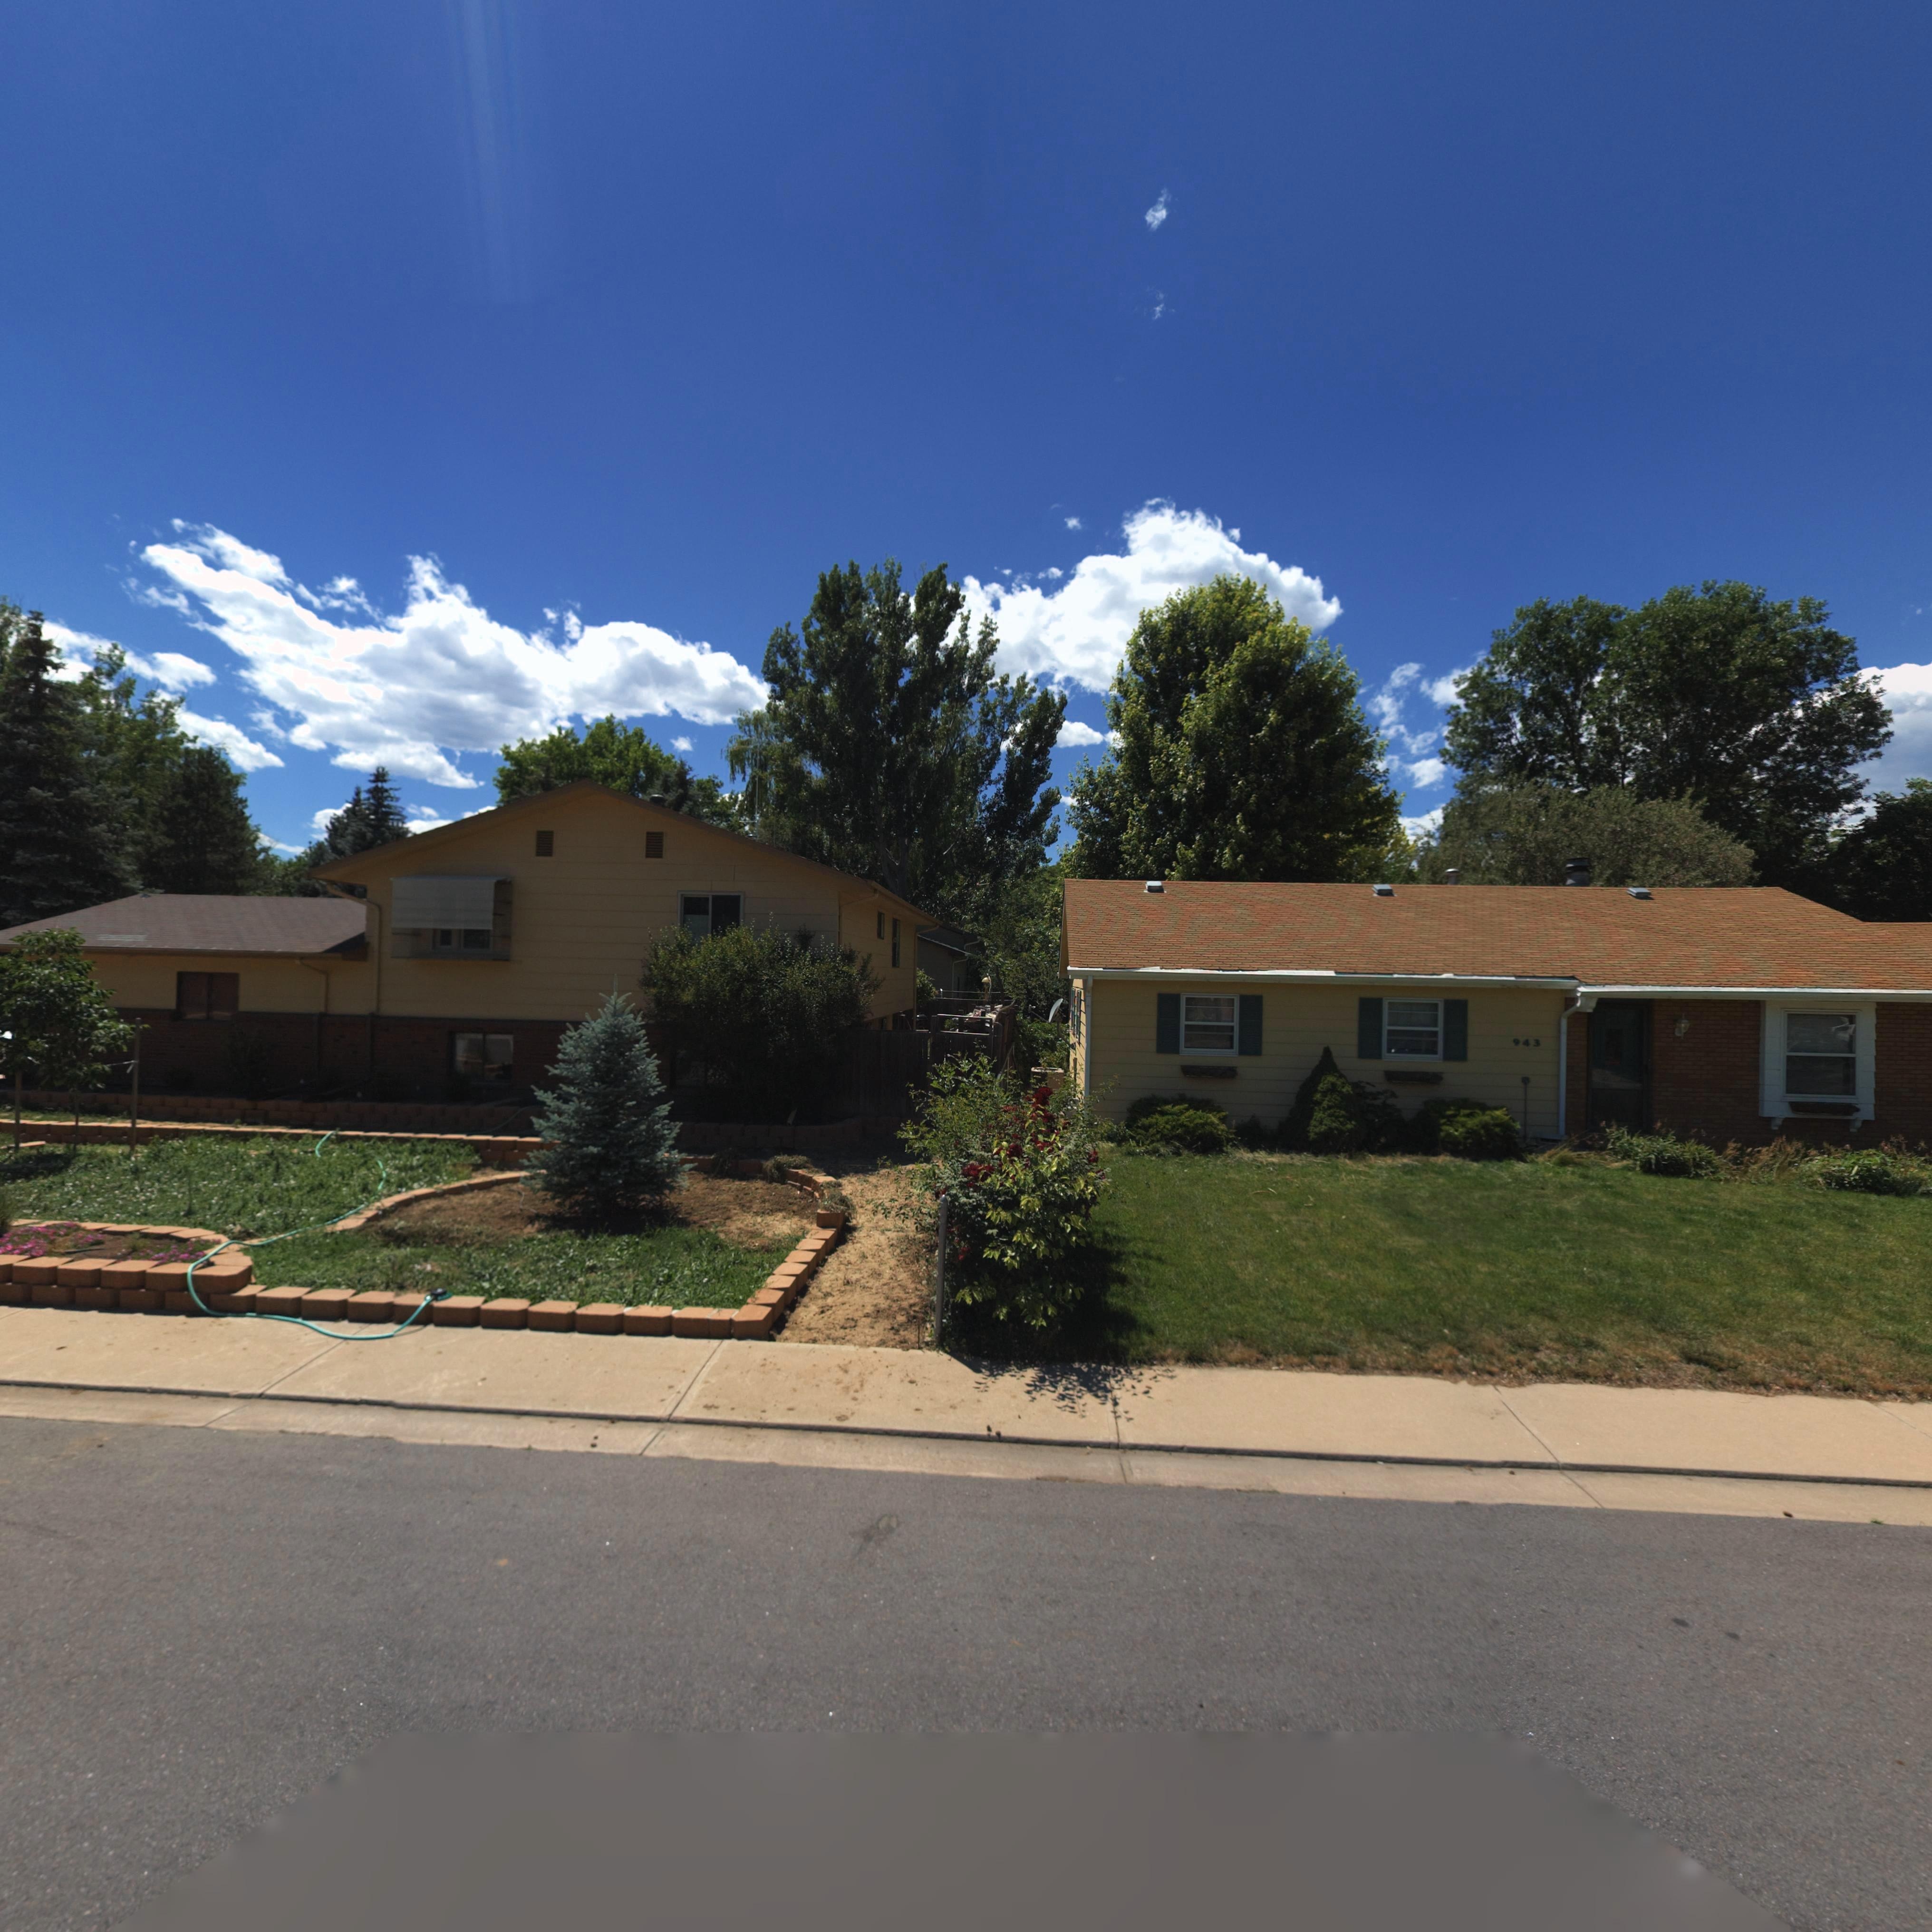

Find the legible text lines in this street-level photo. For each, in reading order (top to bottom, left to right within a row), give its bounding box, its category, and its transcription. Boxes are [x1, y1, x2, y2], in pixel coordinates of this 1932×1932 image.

[1513, 1038, 1541, 1047] StreetNumber: 943